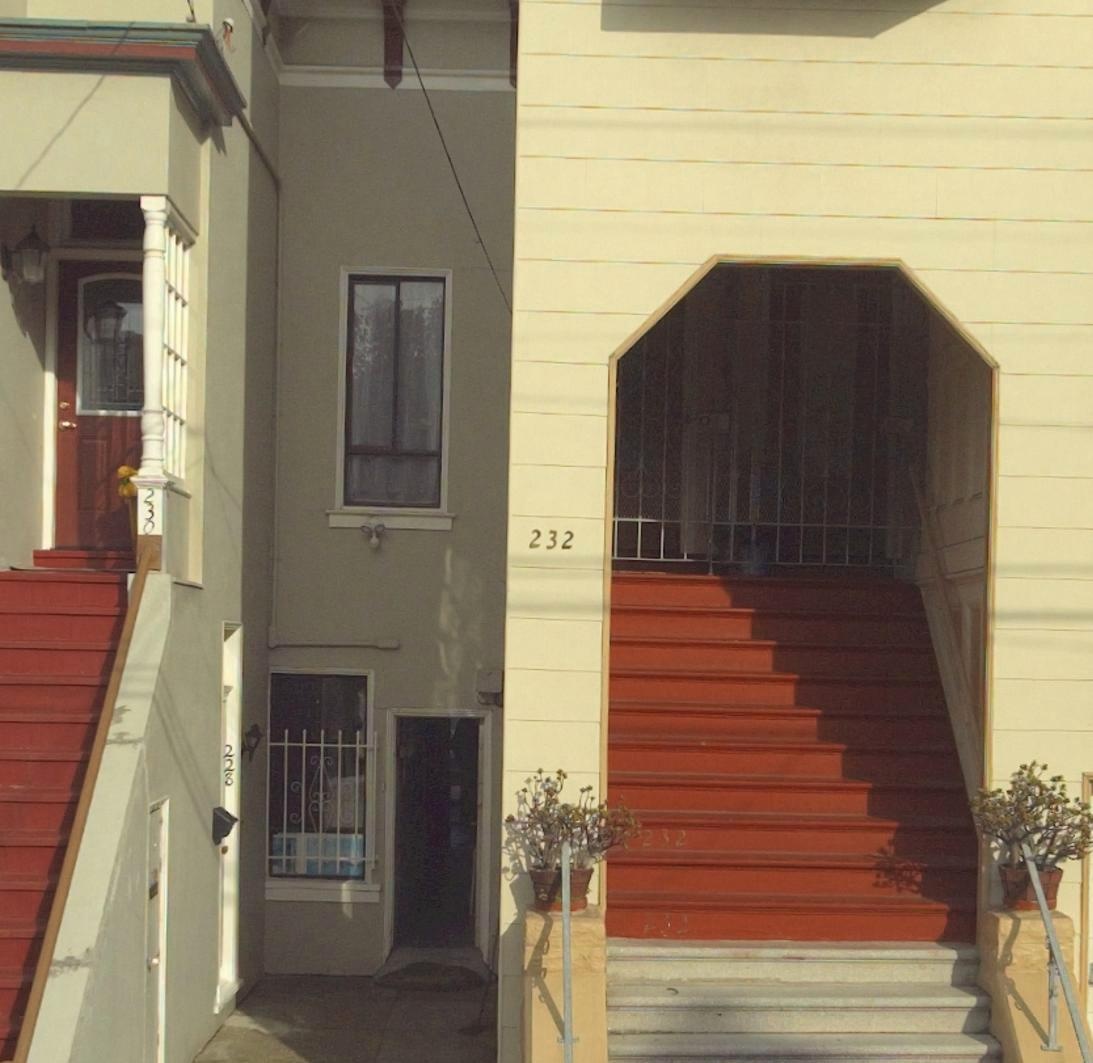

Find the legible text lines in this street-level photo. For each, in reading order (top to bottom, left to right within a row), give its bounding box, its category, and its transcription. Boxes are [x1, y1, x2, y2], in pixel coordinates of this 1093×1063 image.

[141, 486, 157, 536] StreetNumber: 230
[527, 527, 575, 552] StreetNumber: 232
[222, 743, 235, 787] StreetNumber: 228
[641, 827, 688, 848] StreetNumber: 232